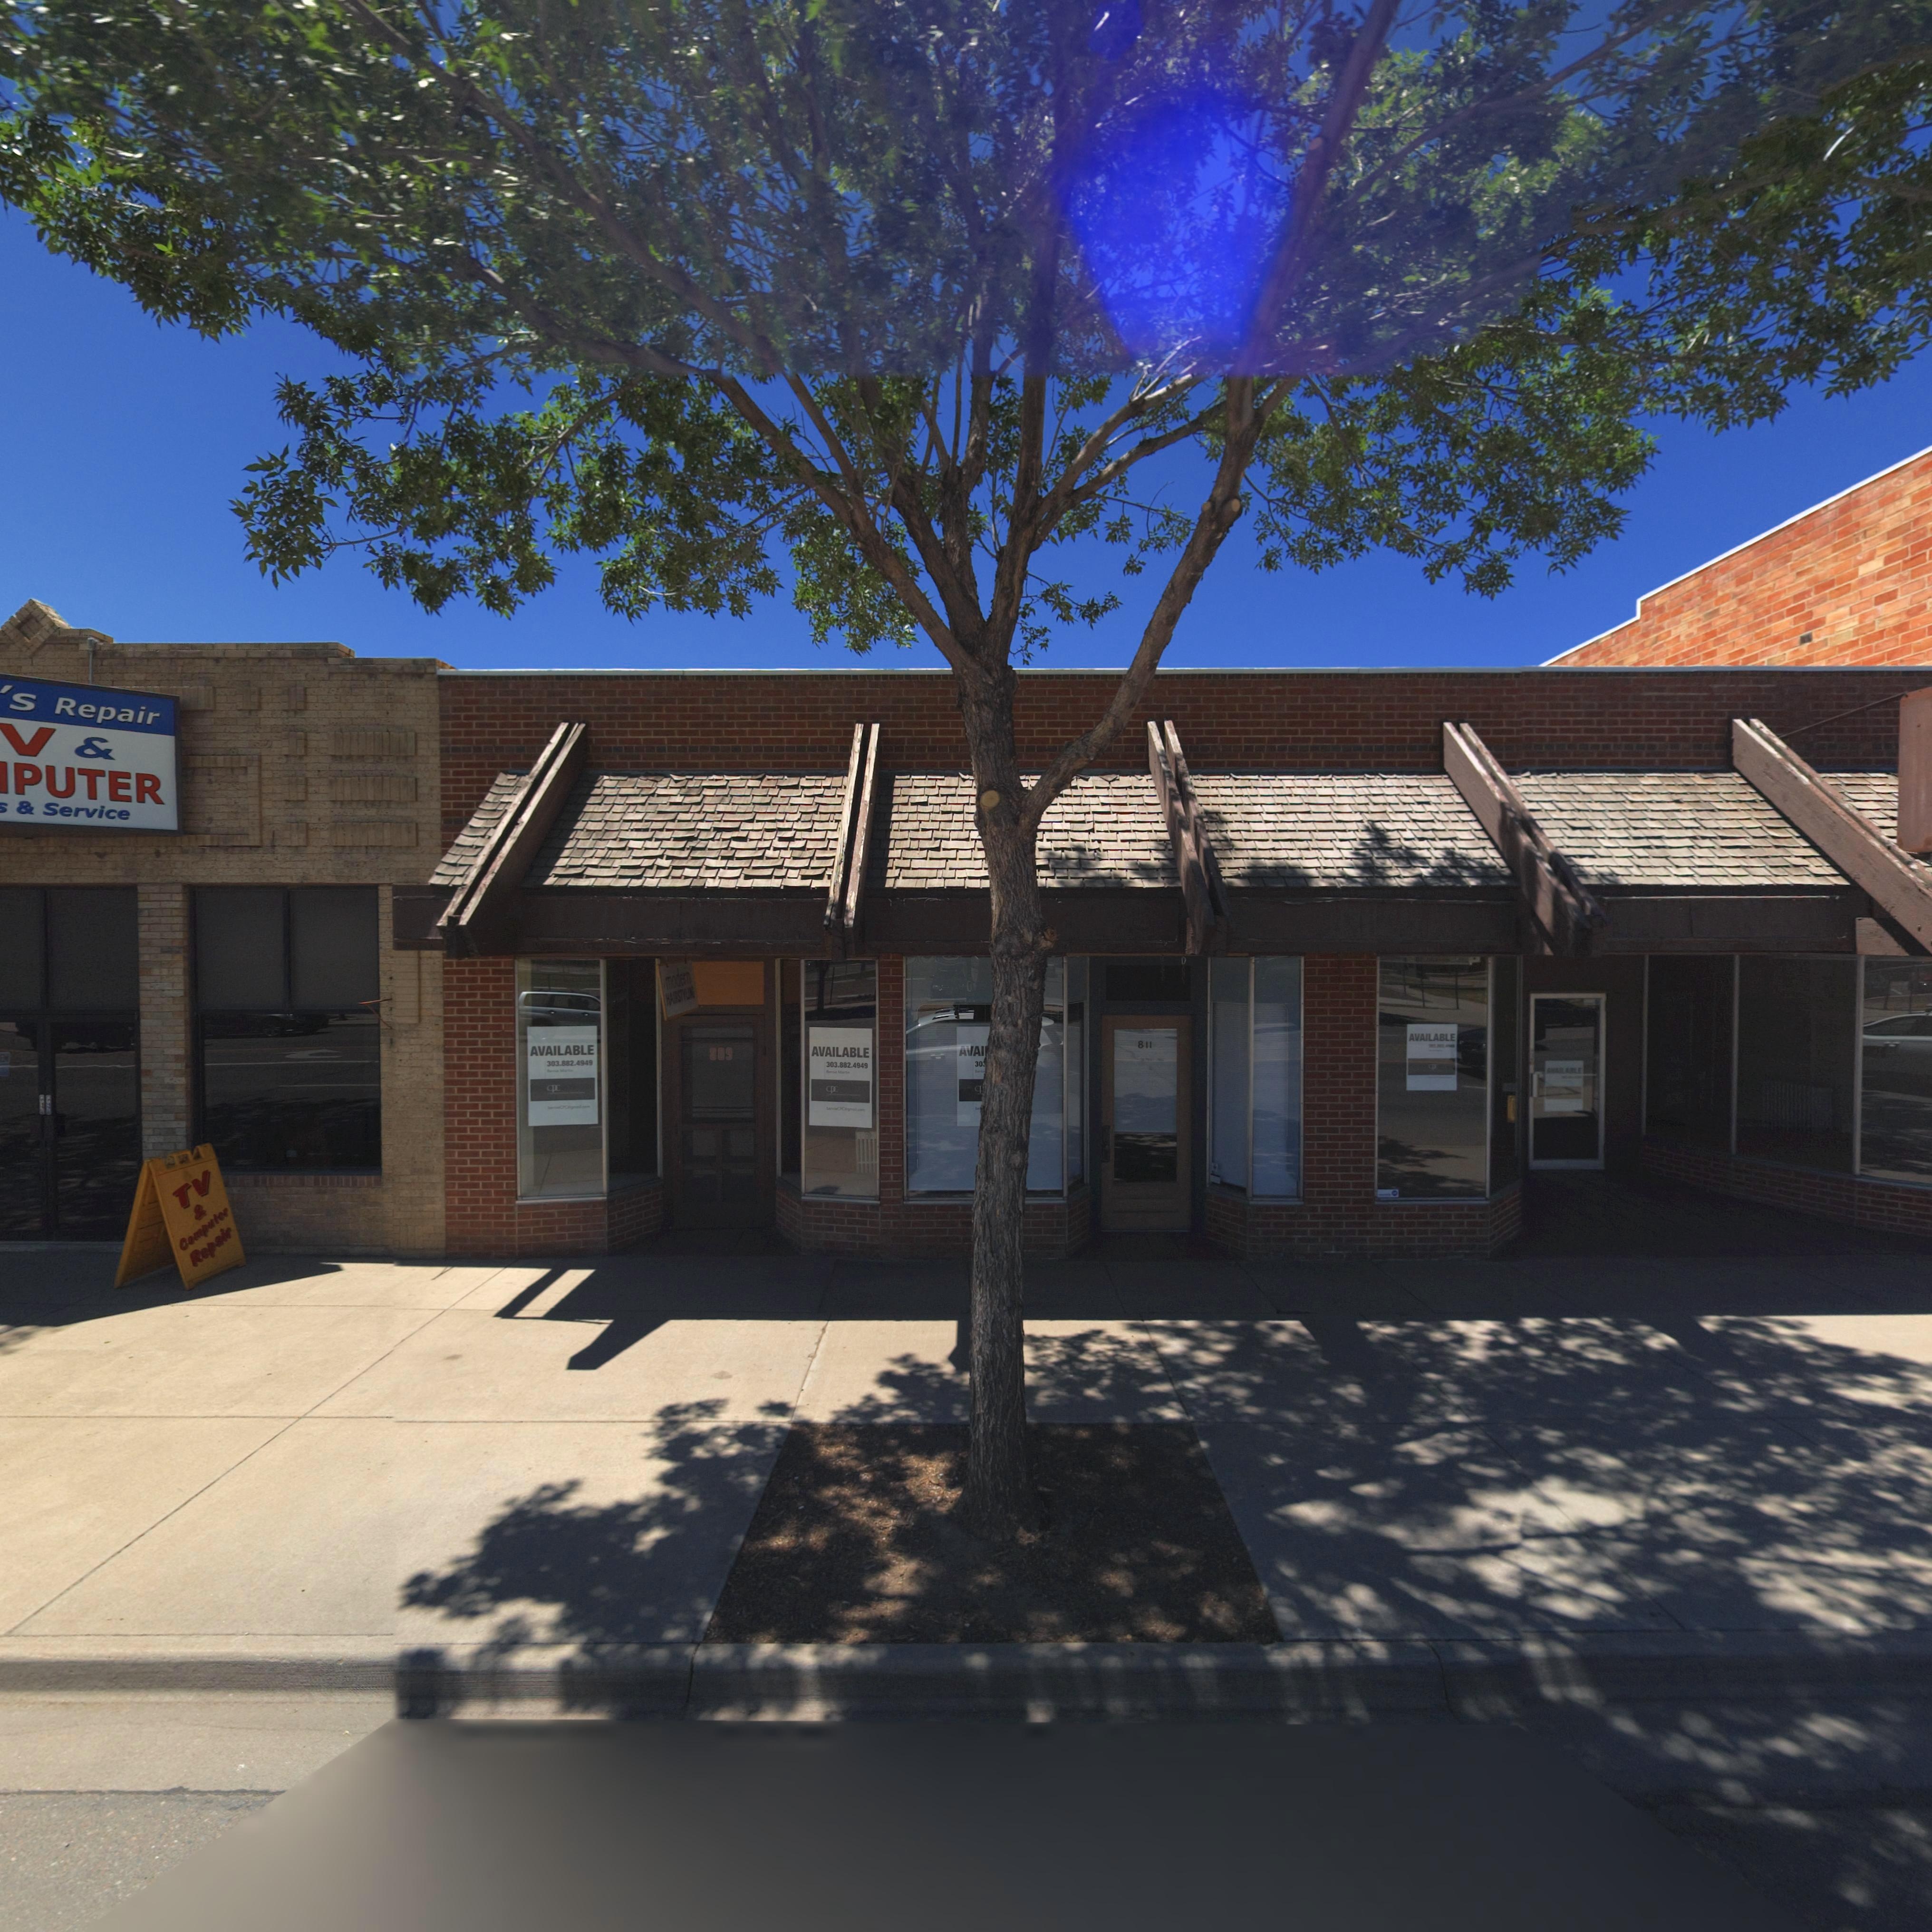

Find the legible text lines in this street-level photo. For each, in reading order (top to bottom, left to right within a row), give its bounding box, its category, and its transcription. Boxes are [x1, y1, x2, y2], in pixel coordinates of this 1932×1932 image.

[0, 683, 161, 725] BusinessName: 's Repair
[0, 722, 116, 761] BusinessName: V &
[13, 762, 166, 805] BusinessName: PUTER
[665, 967, 692, 990] BusinessName: modern
[665, 985, 695, 1006] BusinessName: HAI*STYLI*G
[709, 1047, 733, 1061] StreetNumber: 809
[1138, 1041, 1151, 1048] StreetNumber: 811
[172, 1169, 211, 1210] BusinessName: TV
[193, 1204, 207, 1221] BusinessName: &
[178, 1207, 228, 1251] BusinessName: Computer
[189, 1227, 232, 1267] BusinessName: Repair